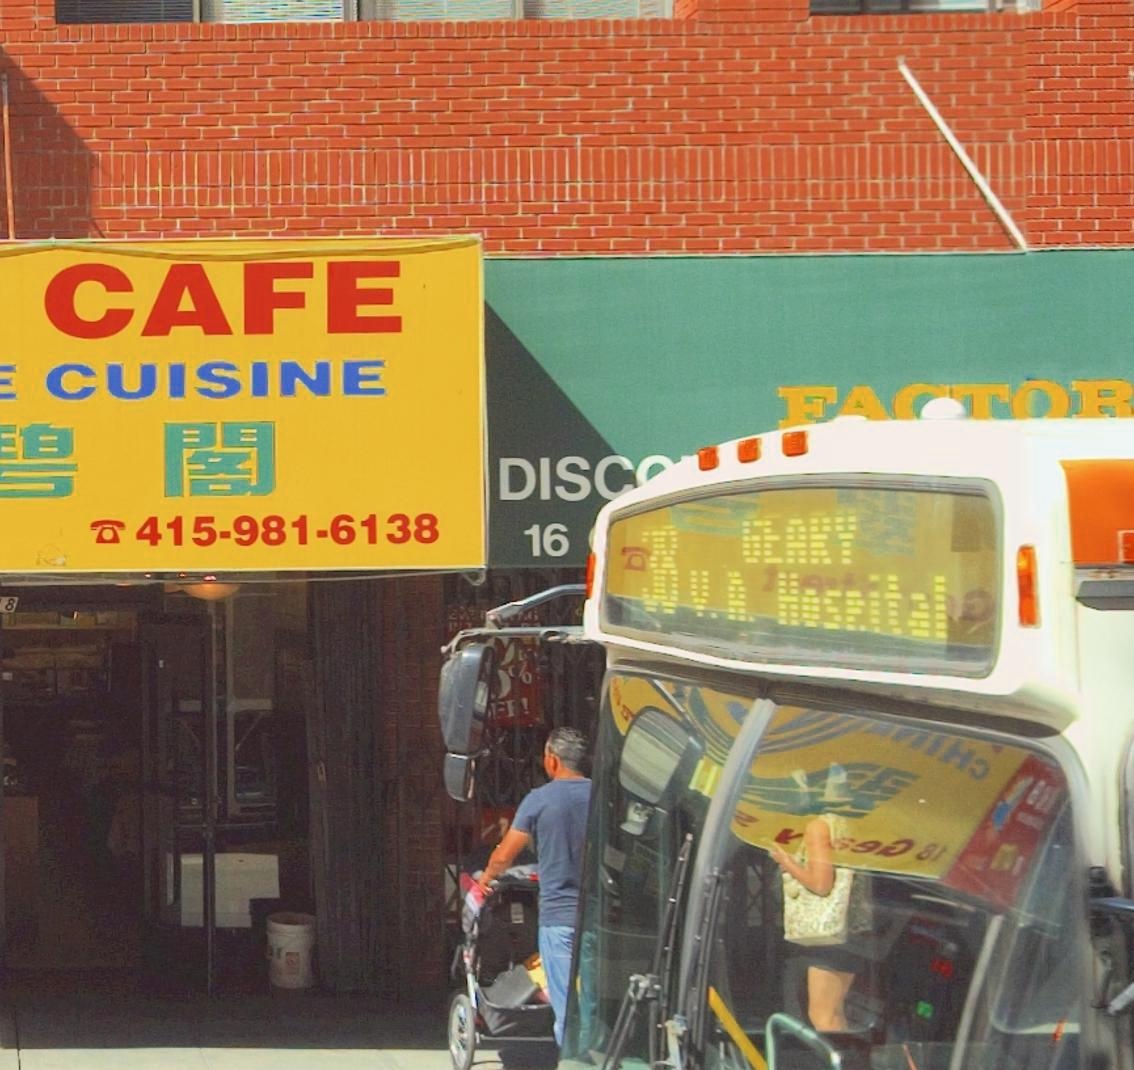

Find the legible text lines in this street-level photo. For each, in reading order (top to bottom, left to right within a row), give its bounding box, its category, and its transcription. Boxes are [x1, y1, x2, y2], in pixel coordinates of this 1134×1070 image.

[39, 258, 405, 340] BusinessName: CAFE
[43, 358, 387, 402] None: CUISINE
[497, 455, 593, 502] None: DIS
[133, 512, 439, 547] None: 415-981-6138
[522, 521, 570, 560] StreetNumber: 16
[739, 504, 861, 566] None: GEARY
[637, 524, 680, 618] None: 38
[2, 597, 18, 612] None: 8
[685, 570, 957, 648] None: V.A. Hospital